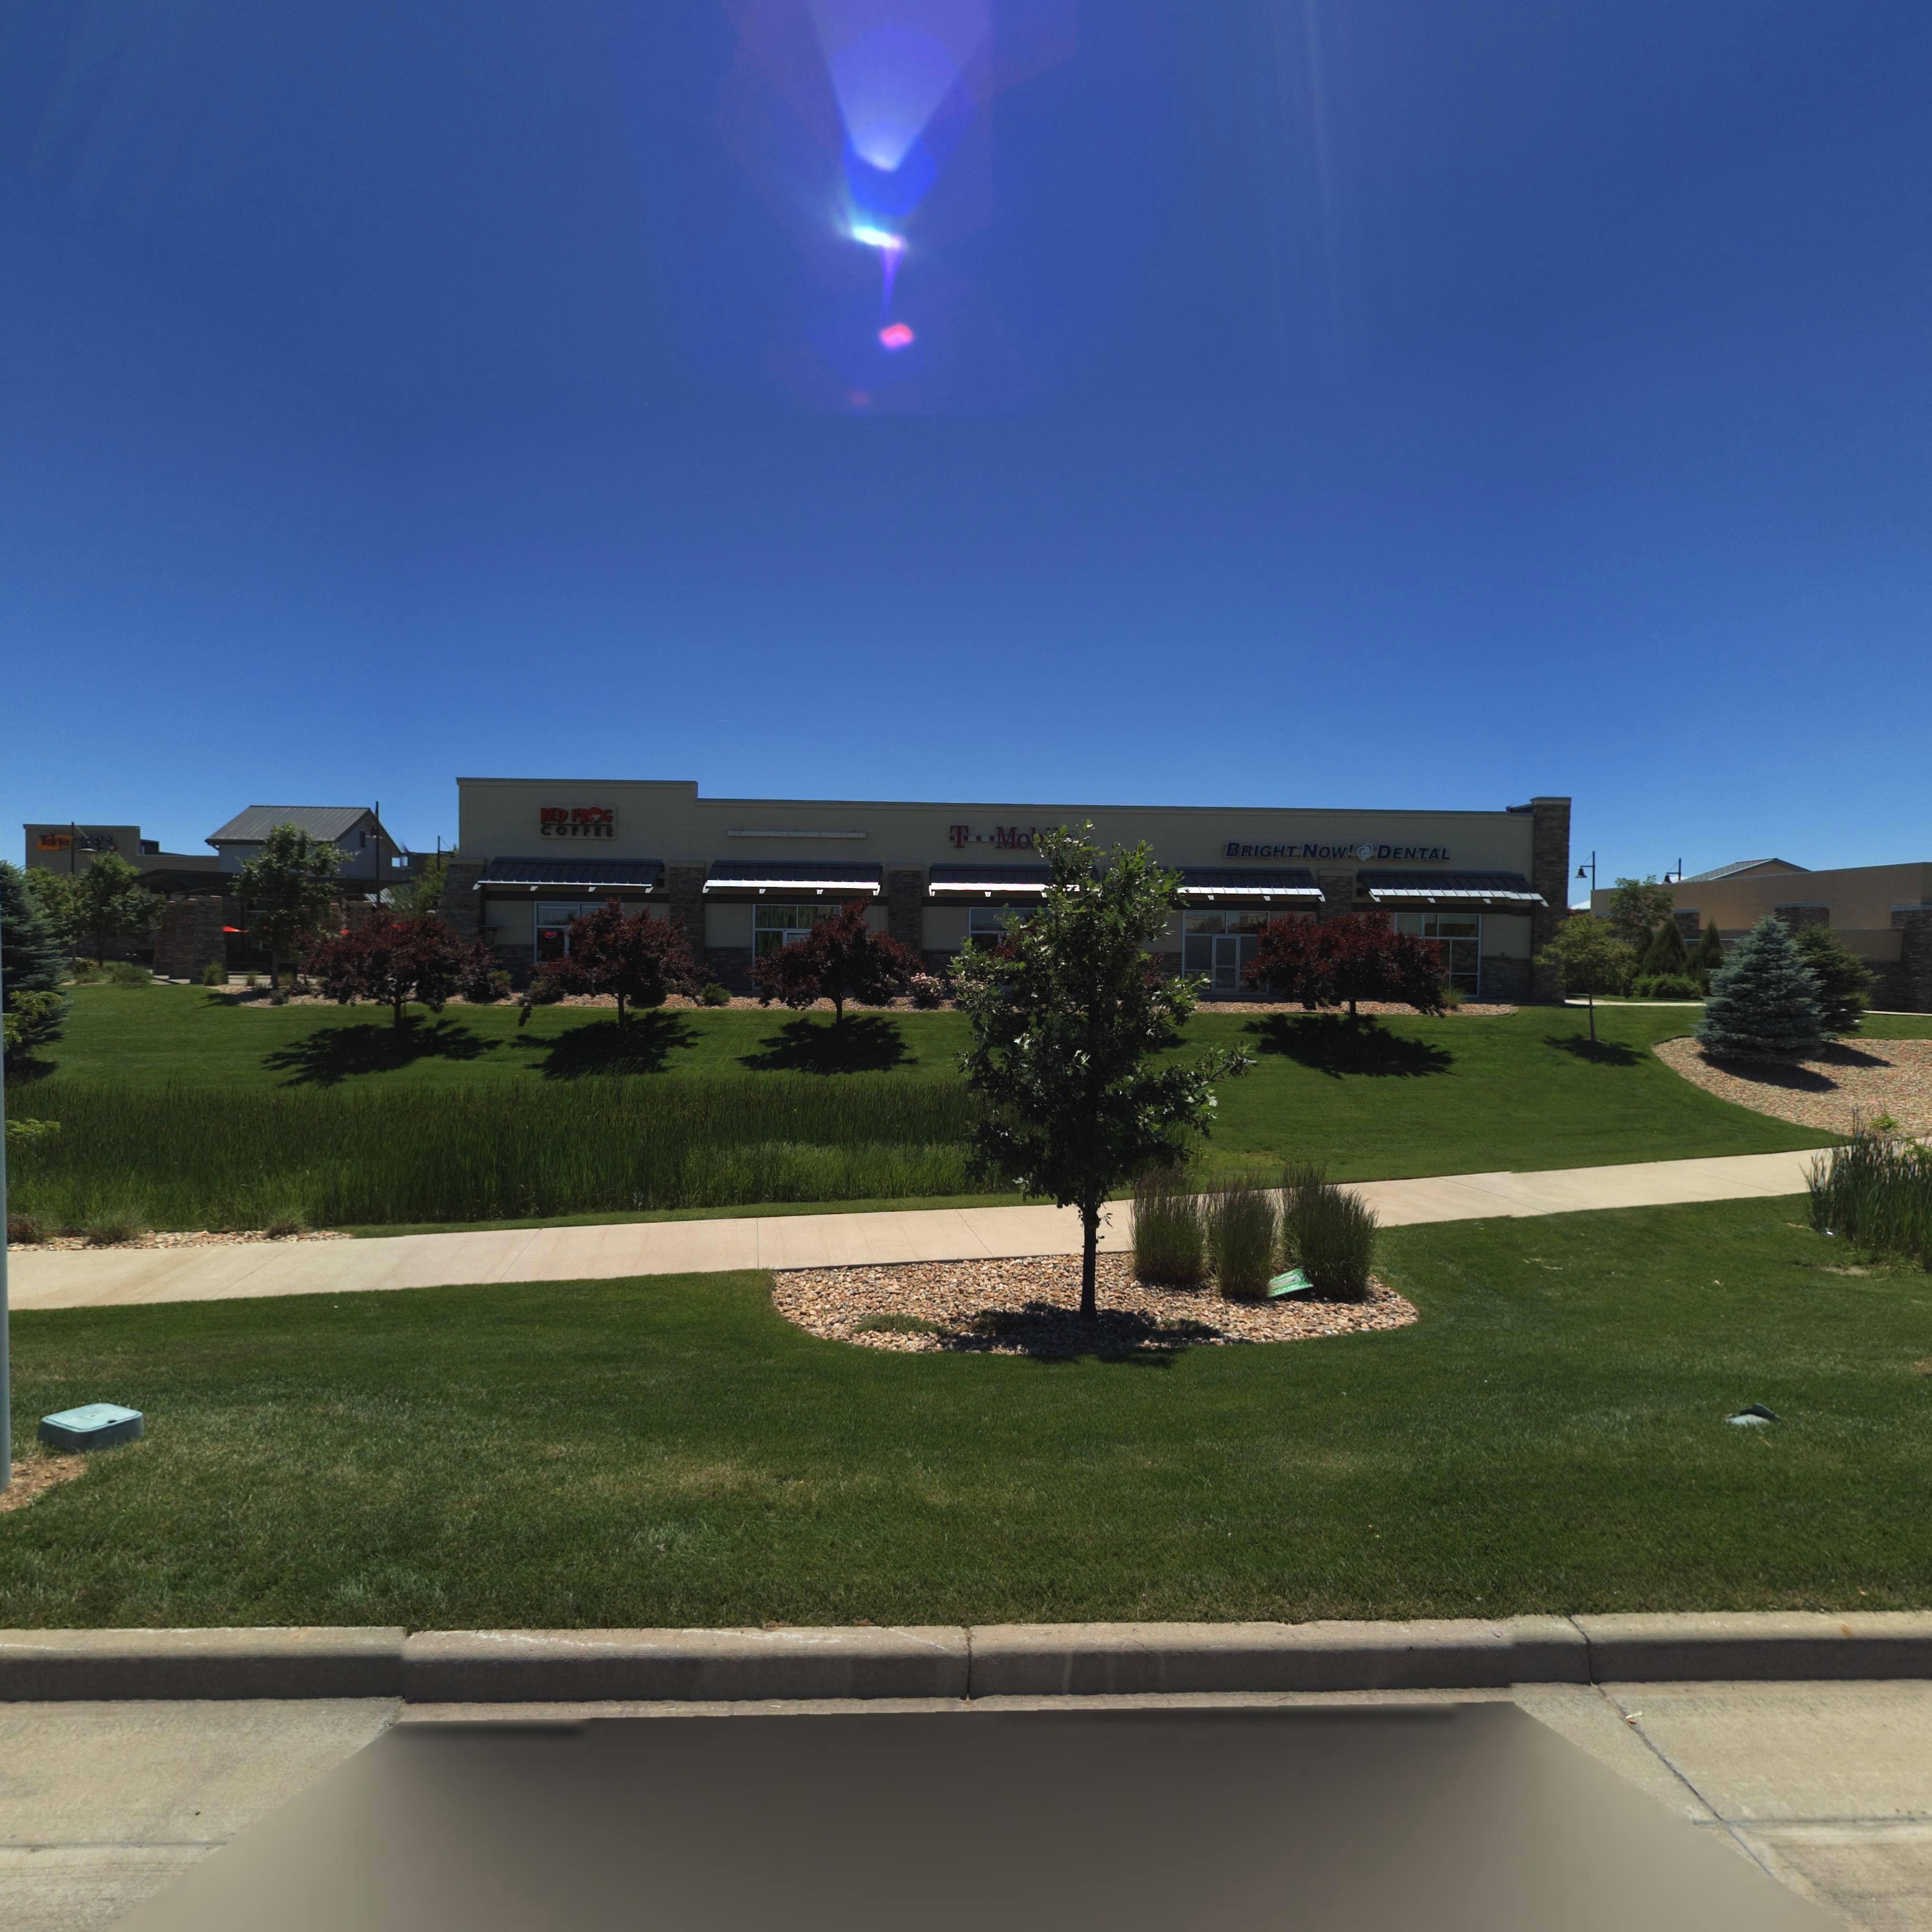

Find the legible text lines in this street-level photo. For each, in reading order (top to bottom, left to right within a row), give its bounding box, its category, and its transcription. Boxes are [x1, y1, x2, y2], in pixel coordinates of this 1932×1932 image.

[540, 806, 613, 824] BusinessName: RED FR*G
[38, 832, 70, 851] BusinessName: Tokyo
[73, 834, 111, 850] BusinessName: **E'S
[540, 824, 613, 837] BusinessName: COFFEE
[950, 825, 1031, 849] BusinessName: T Mo
[1224, 842, 1450, 860] BusinessName: BRIGHT NOW! DENTAL